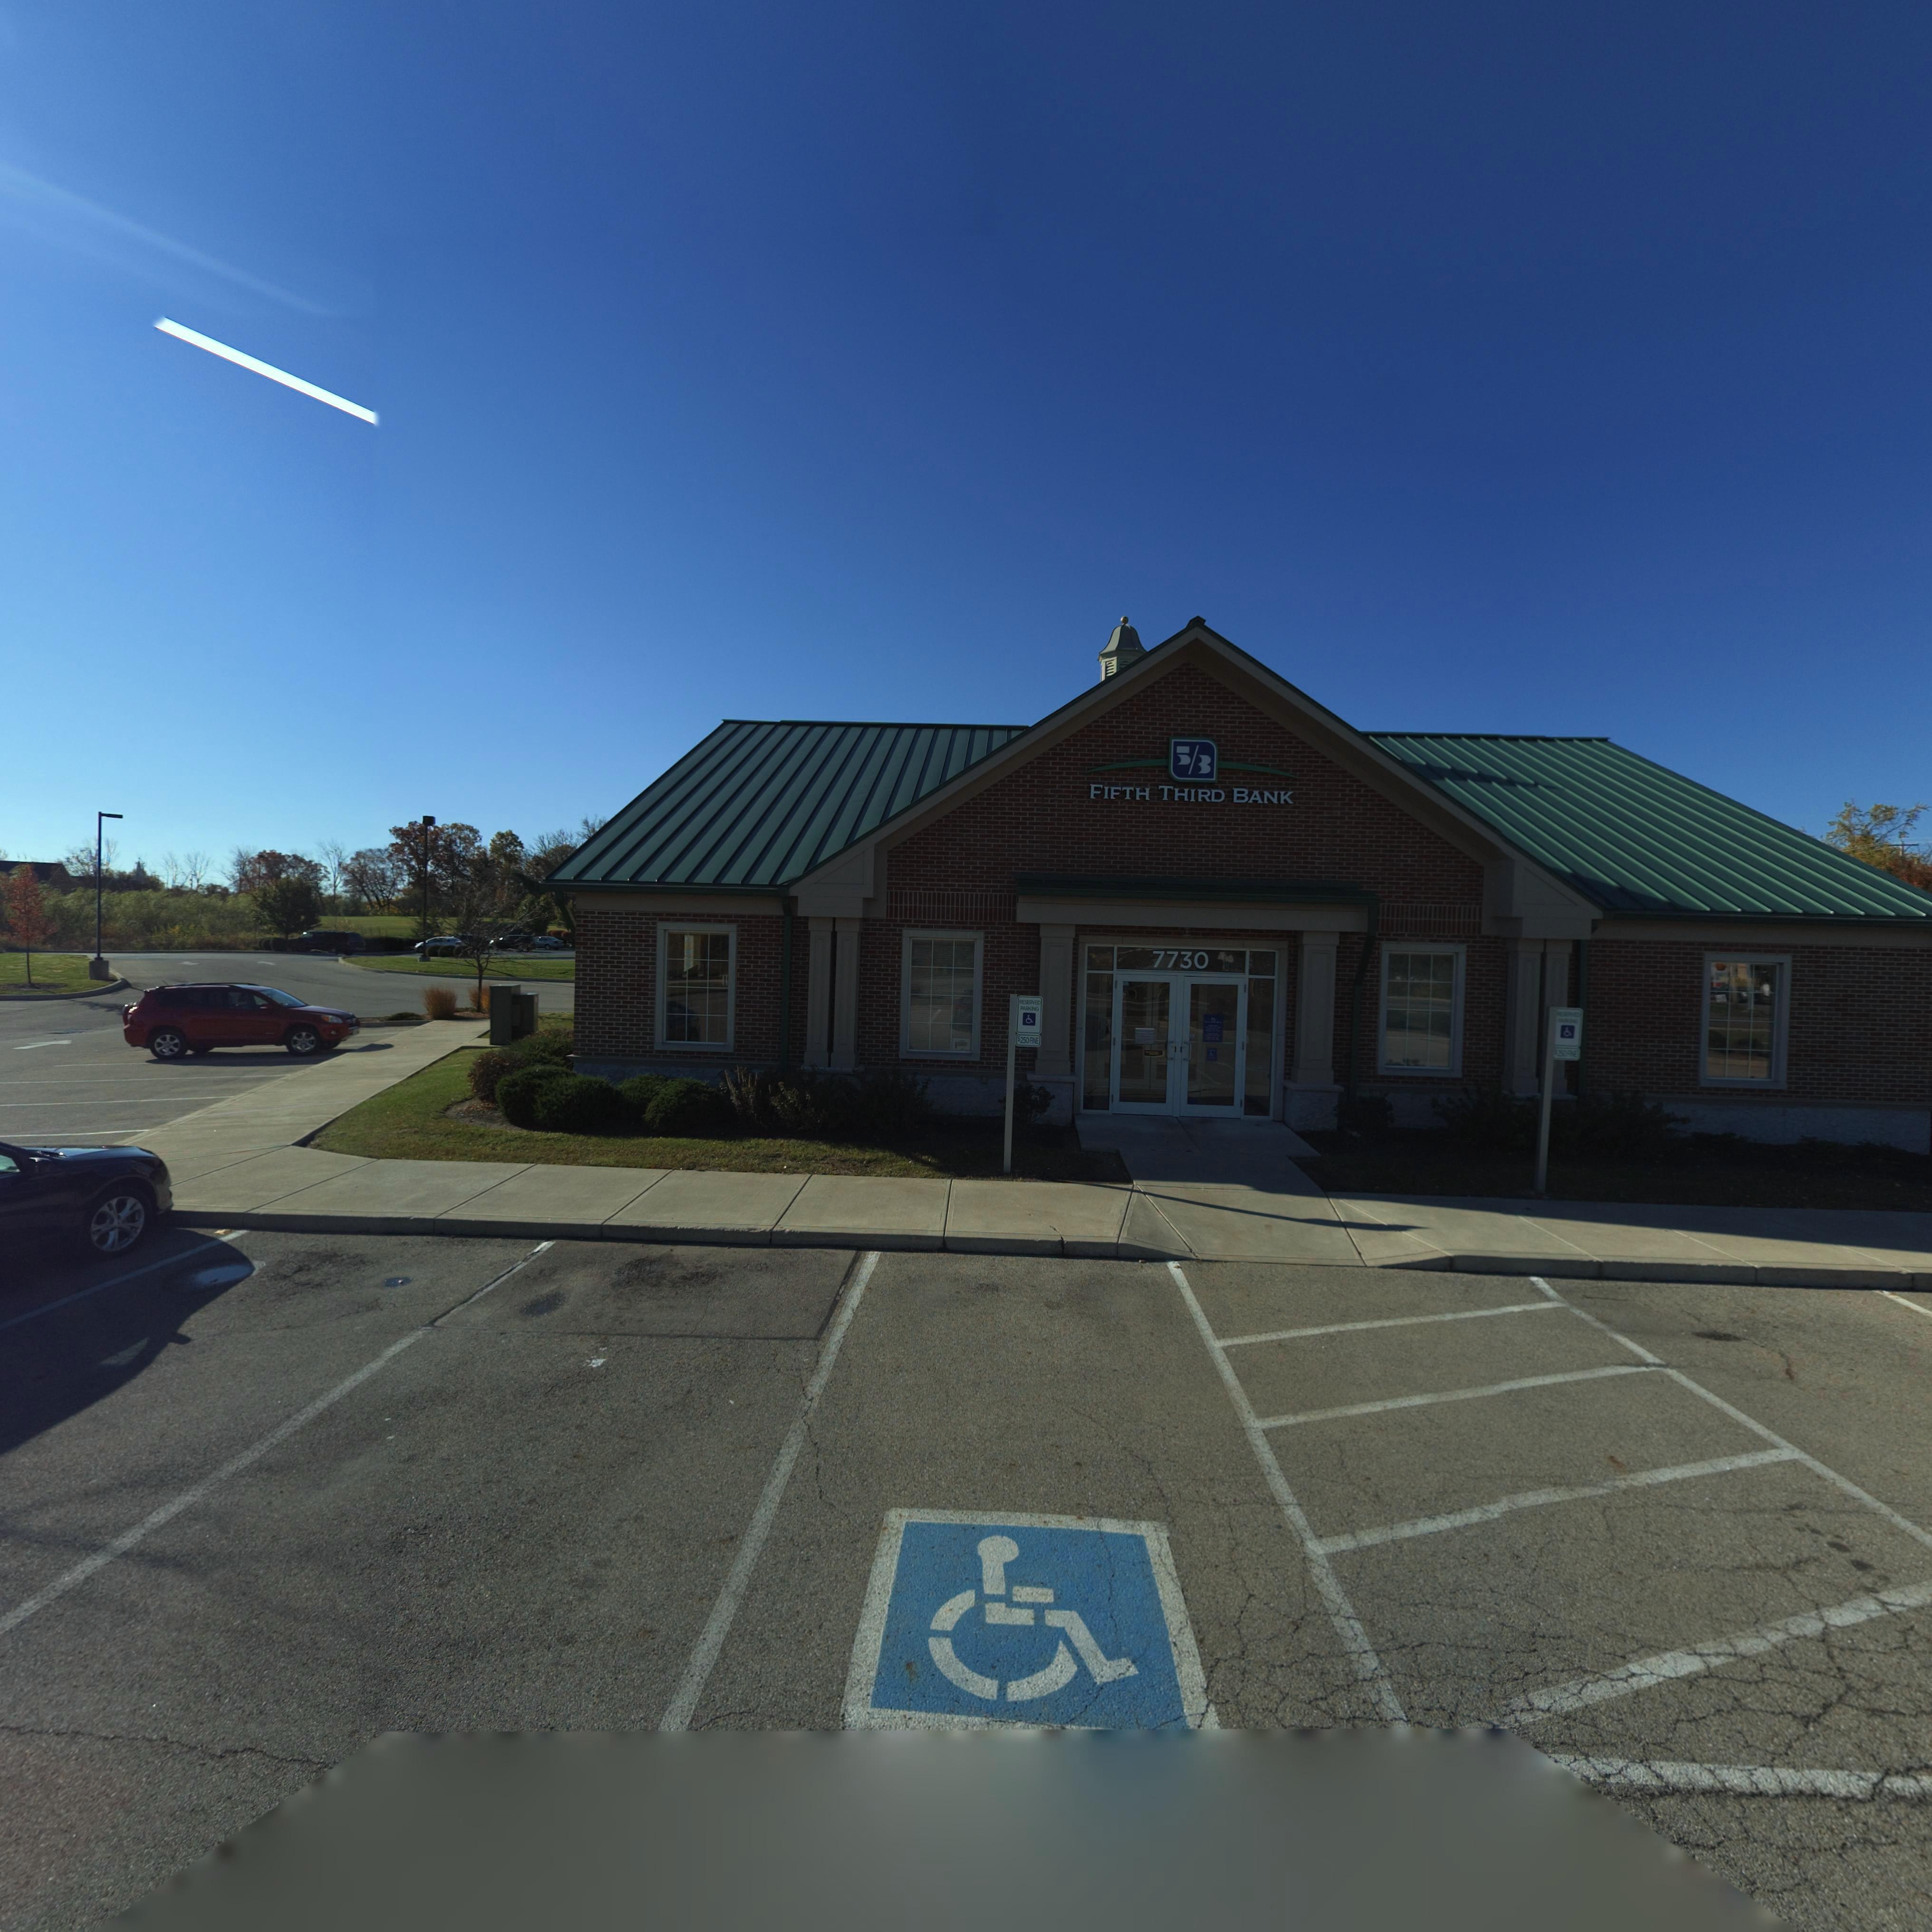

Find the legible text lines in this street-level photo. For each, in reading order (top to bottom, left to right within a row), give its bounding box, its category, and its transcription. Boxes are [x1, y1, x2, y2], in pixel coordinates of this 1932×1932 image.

[1088, 783, 1295, 805] BusinessName: FIFTH THIRD BANK
[1151, 950, 1210, 970] StreetNumber: 7730